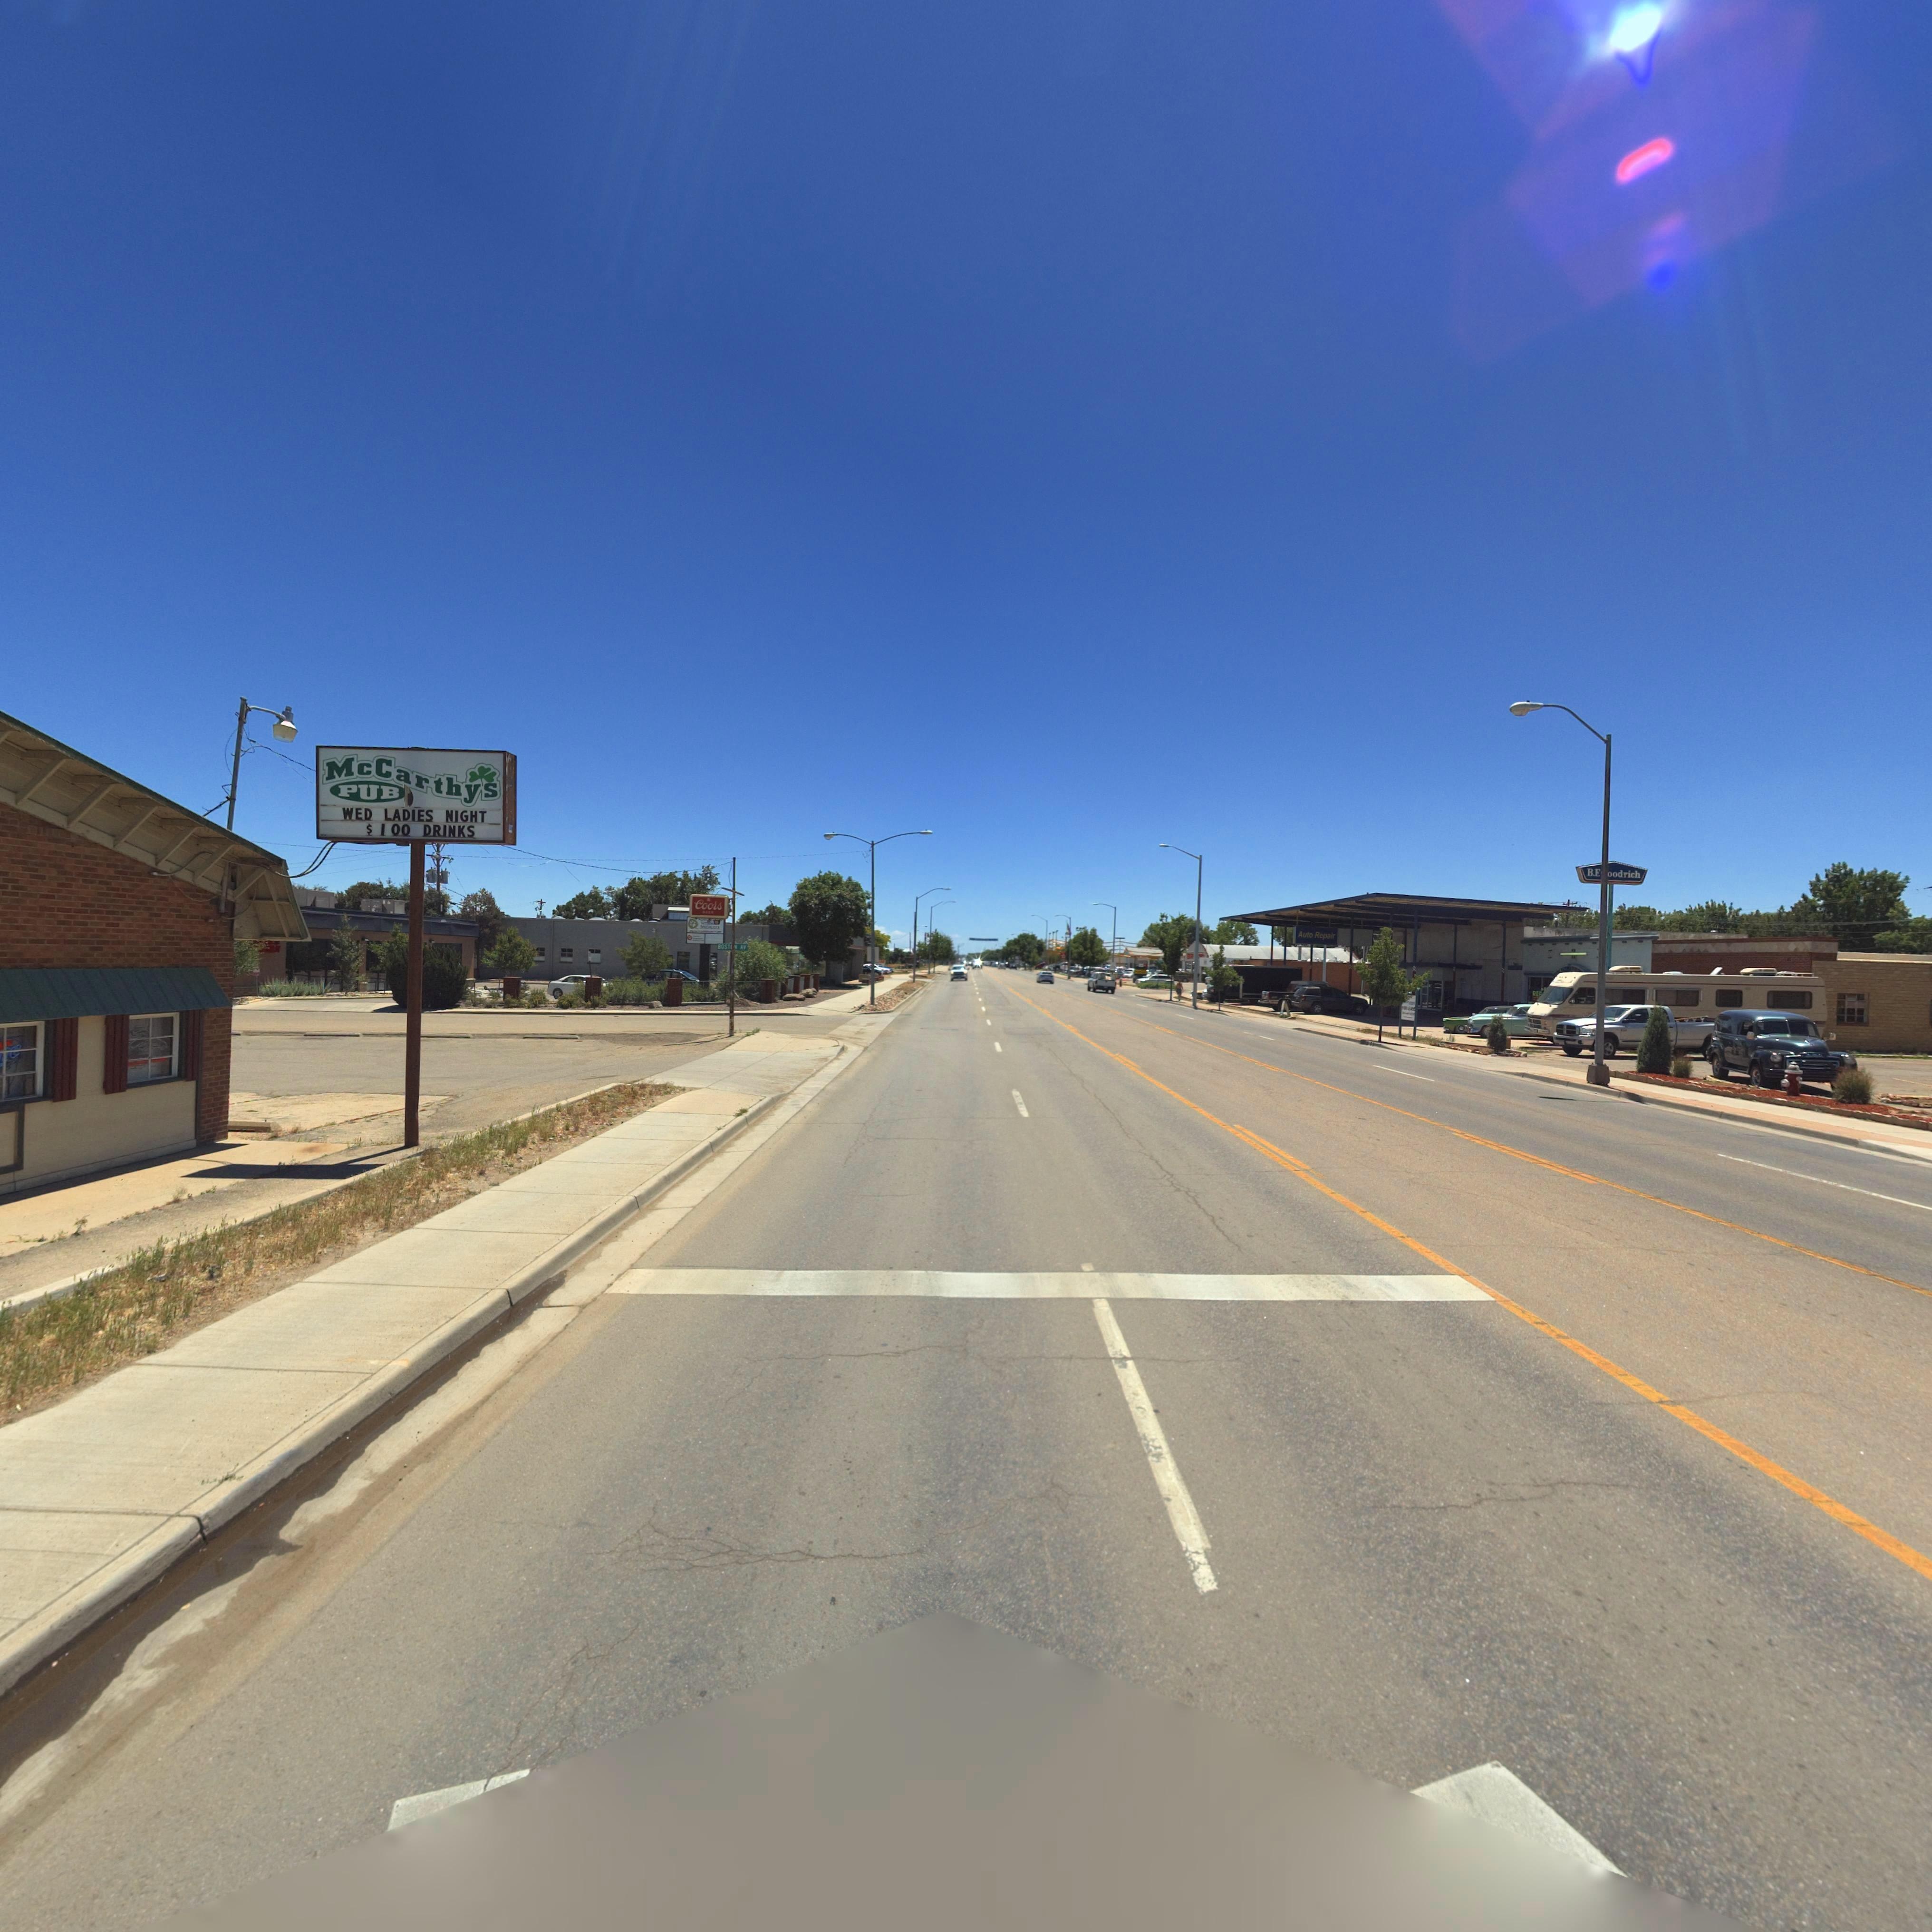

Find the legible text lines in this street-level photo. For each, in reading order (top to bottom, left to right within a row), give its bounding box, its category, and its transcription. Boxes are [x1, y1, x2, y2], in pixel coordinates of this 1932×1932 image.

[324, 756, 499, 804] BusinessName: McCarthys
[337, 783, 401, 801] BusinessName: PUB
[1586, 867, 1641, 879] BusinessName: B.F. oodrich
[699, 924, 719, 929] BusinessName: S**C**L***S
[717, 943, 746, 950] StreetName: BOS*** A*